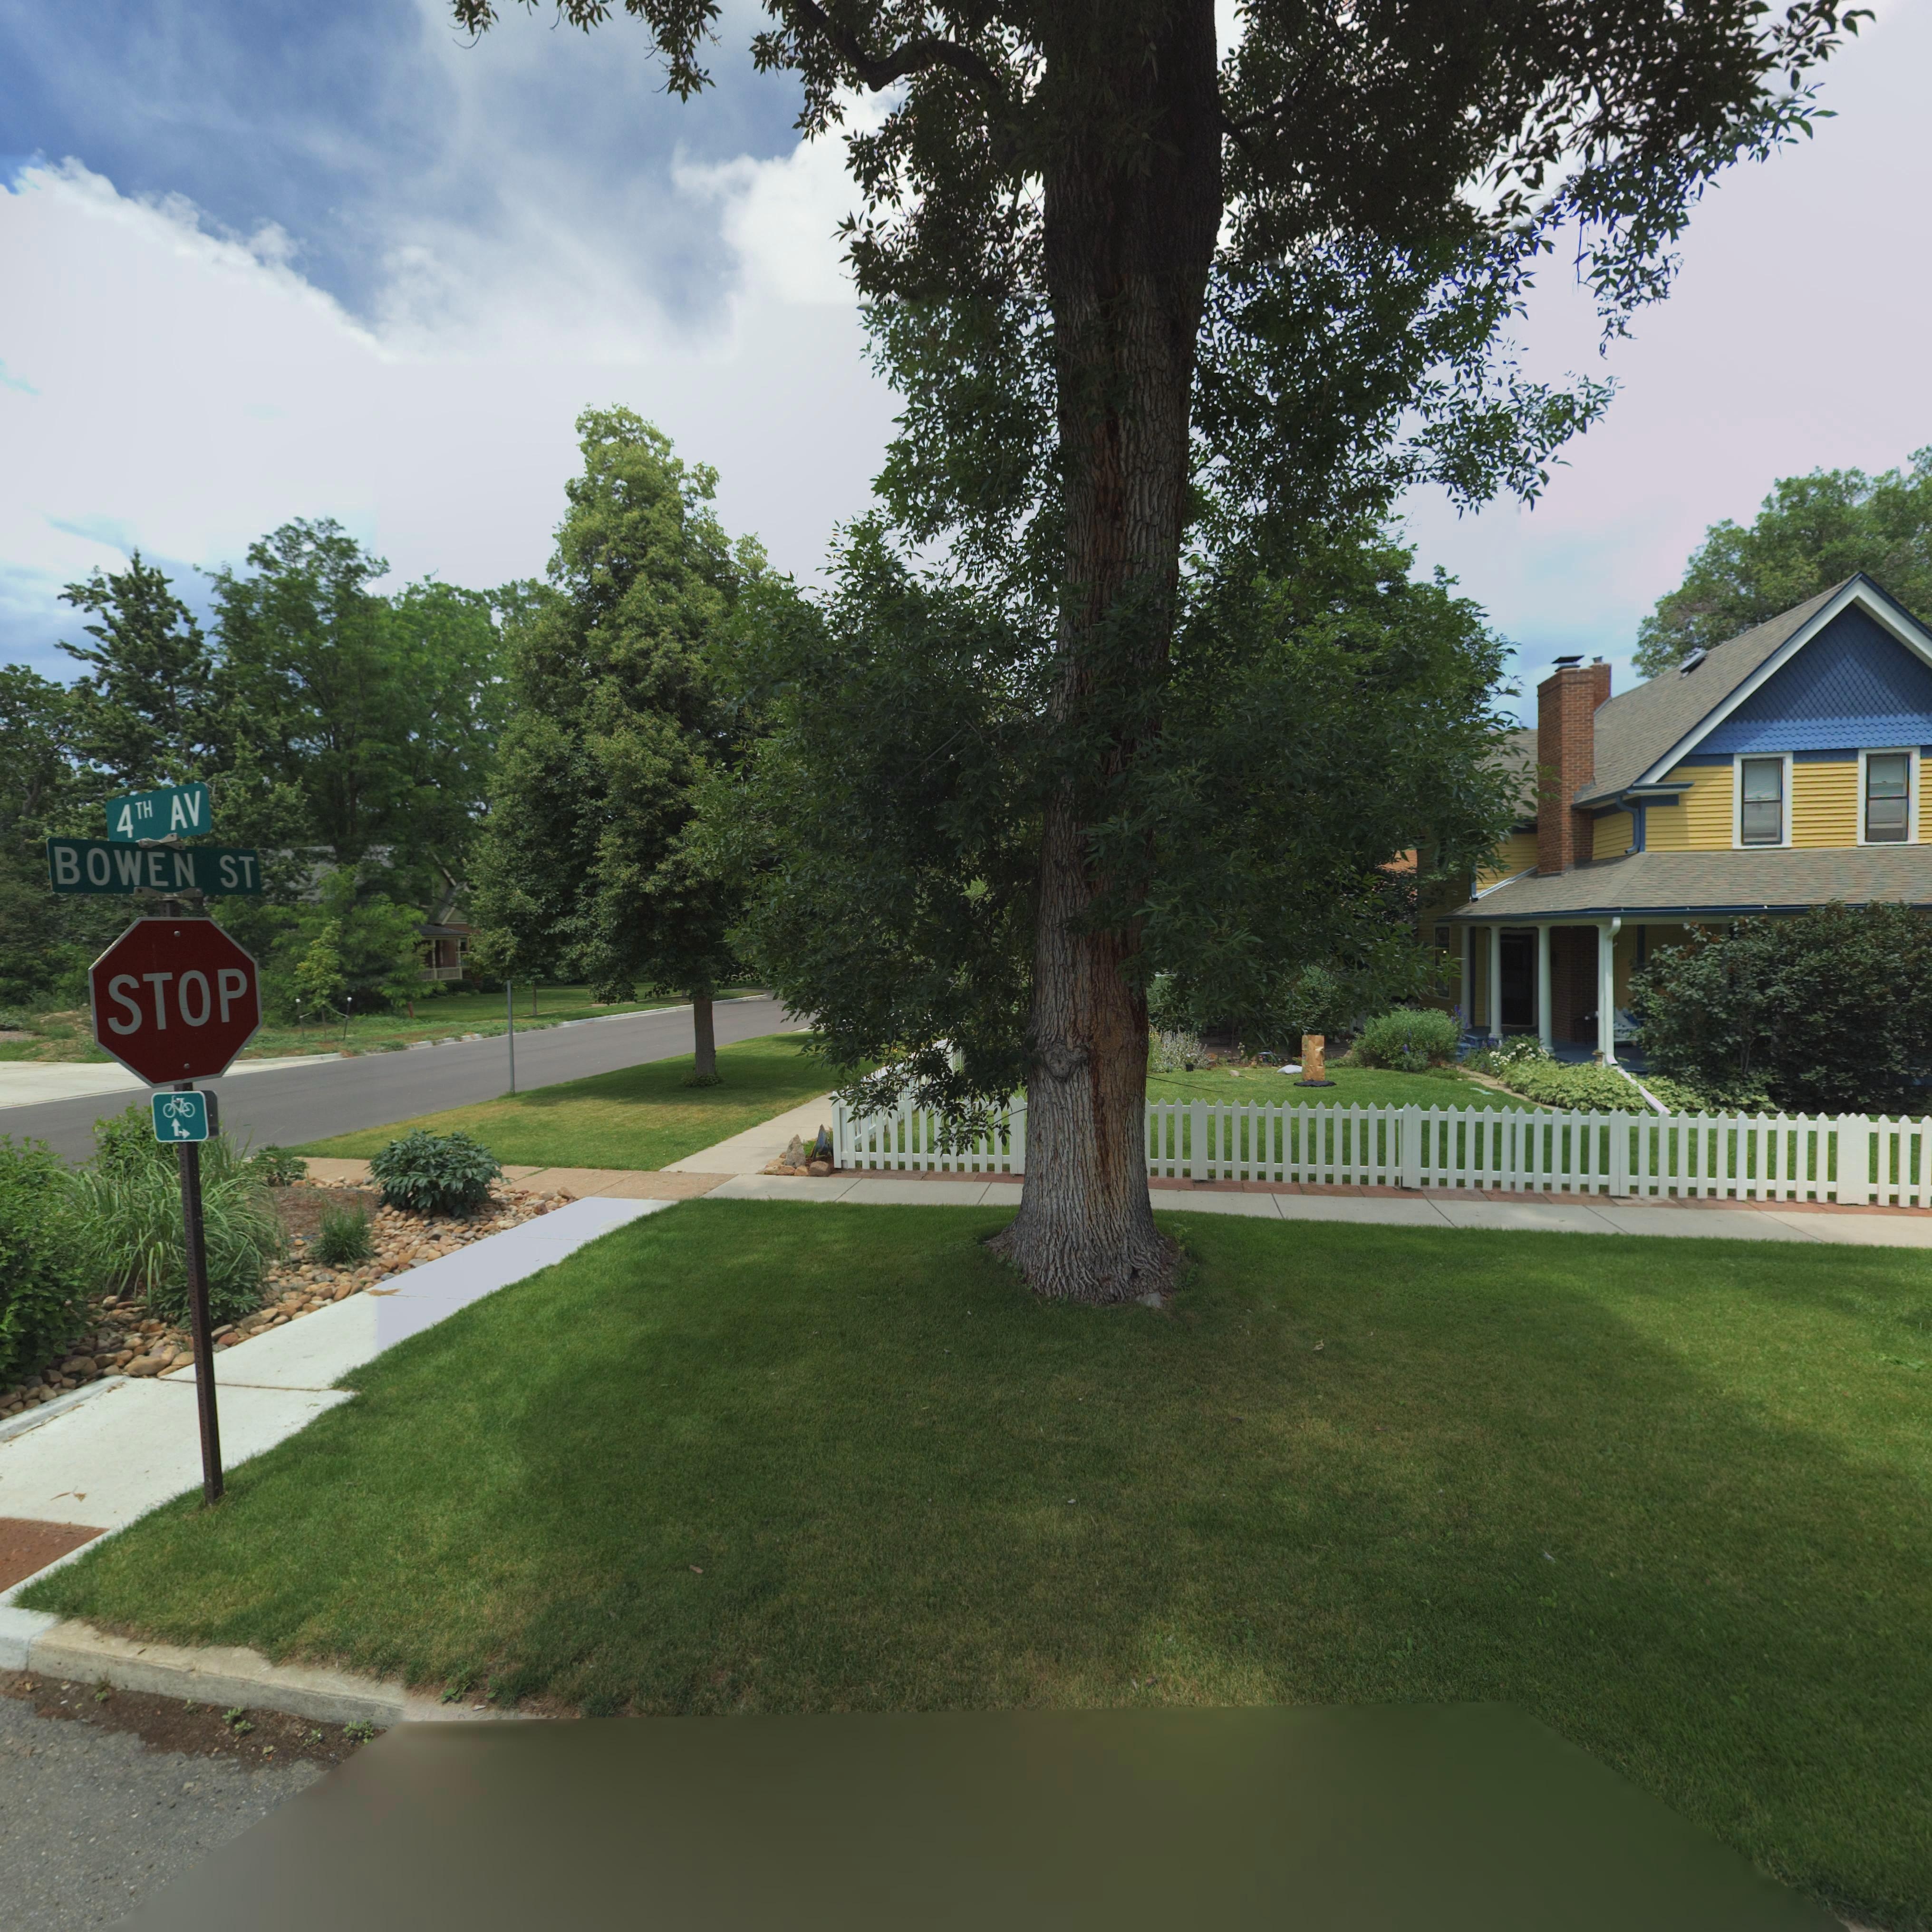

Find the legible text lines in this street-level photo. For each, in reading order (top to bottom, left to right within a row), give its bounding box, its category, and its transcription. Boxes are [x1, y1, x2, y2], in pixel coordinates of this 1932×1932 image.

[116, 790, 201, 839] StreetName: 4TH AV
[52, 844, 255, 889] StreetName: BOWEN ST